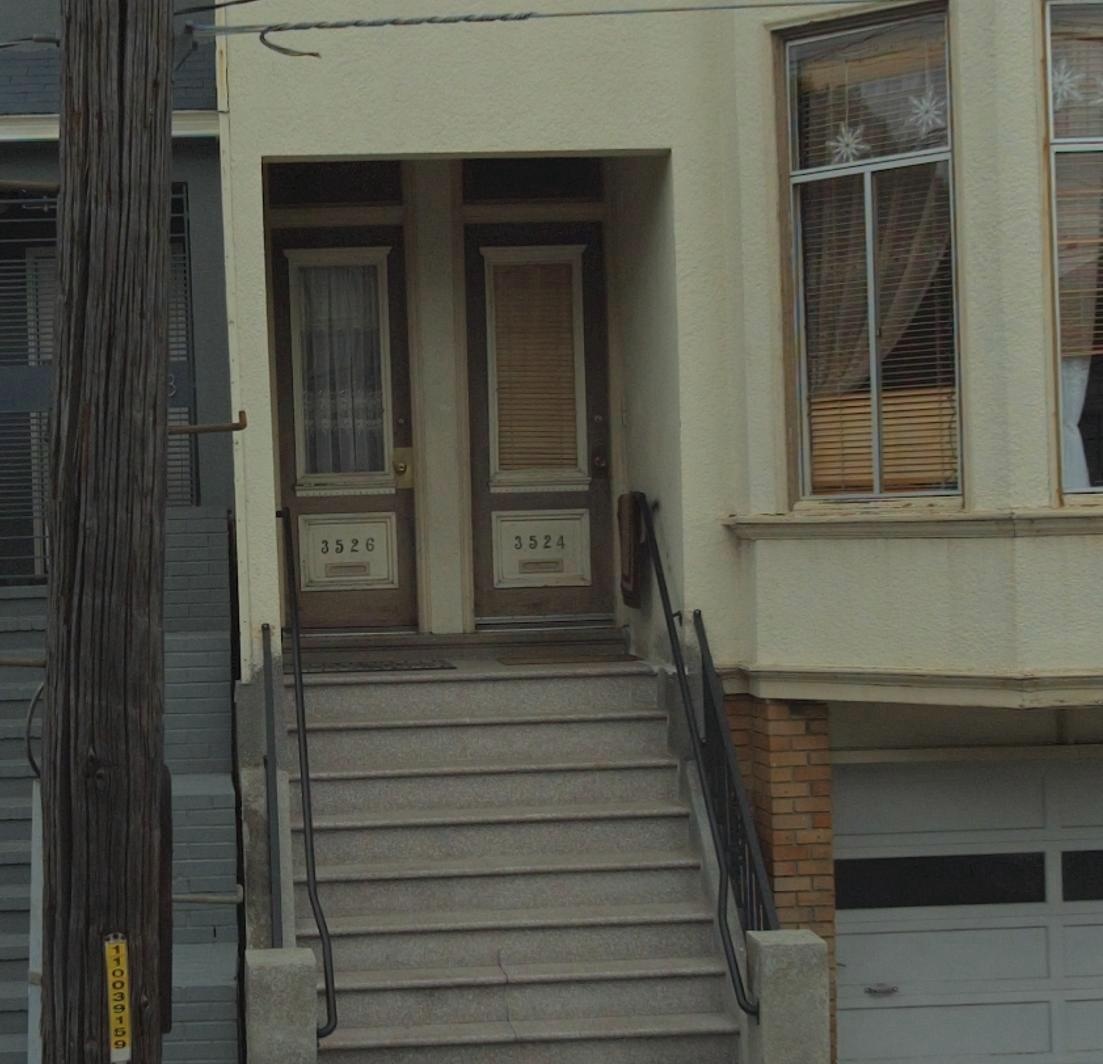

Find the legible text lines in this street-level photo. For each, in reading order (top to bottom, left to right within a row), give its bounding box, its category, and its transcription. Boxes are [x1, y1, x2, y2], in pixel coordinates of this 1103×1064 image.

[319, 536, 377, 555] StreetNumber: 3526
[513, 533, 567, 552] StreetNumber: 3524
[107, 943, 128, 1052] None: 110039159